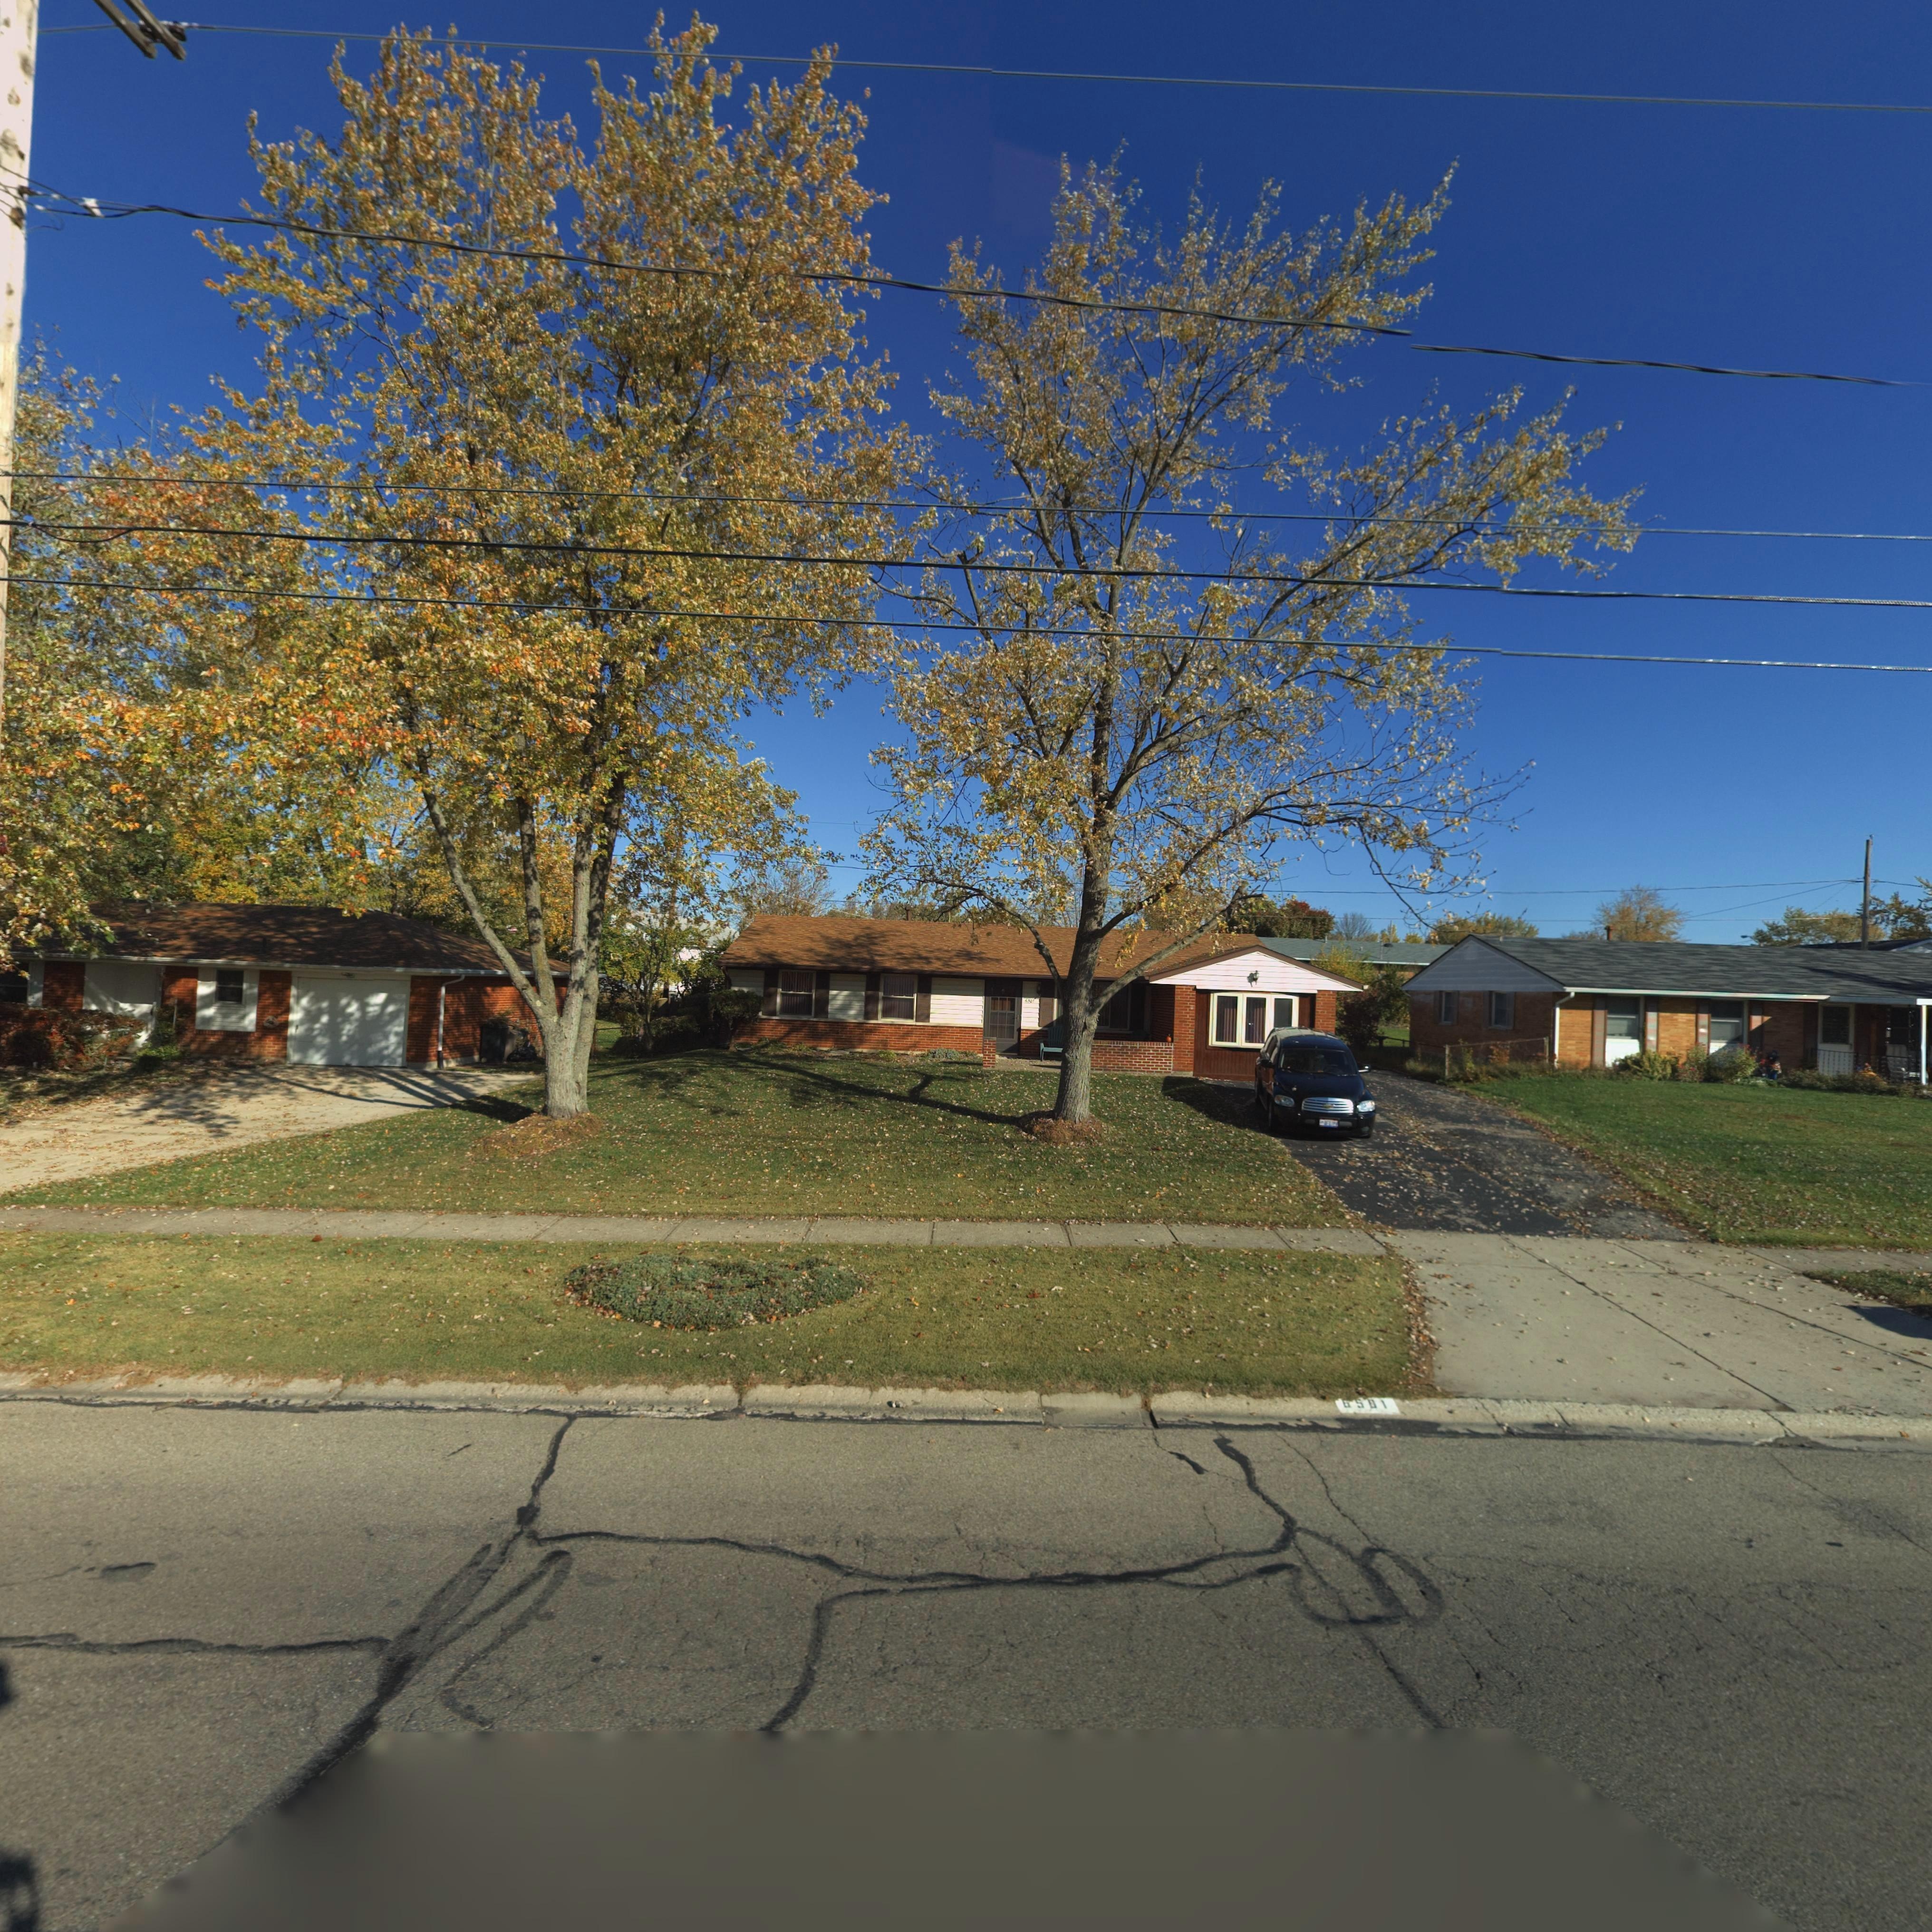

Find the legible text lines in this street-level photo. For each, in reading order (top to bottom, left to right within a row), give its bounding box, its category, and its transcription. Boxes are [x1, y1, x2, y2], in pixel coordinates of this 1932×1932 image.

[1339, 1398, 1389, 1410] StreetNumber: 6501